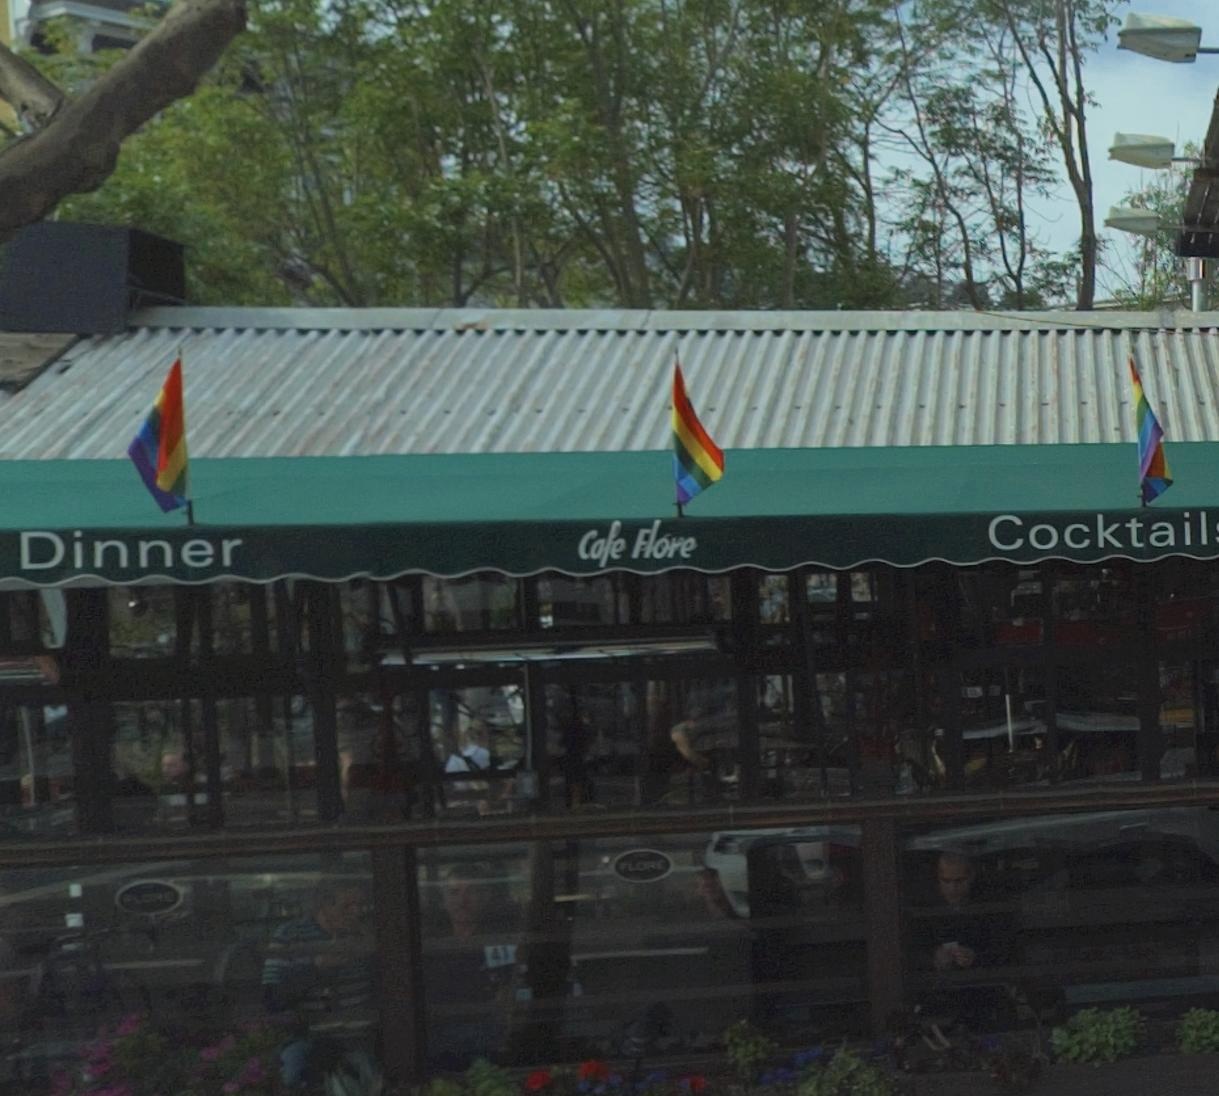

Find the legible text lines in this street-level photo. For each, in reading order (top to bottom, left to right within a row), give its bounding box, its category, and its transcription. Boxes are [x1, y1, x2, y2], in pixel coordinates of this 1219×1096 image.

[16, 527, 249, 574] None: Dinner
[570, 516, 701, 570] BusinessName: Cafe Flore
[984, 507, 1212, 554] None: Cocktail
[617, 856, 668, 875] BusinessName: *LORE
[486, 943, 514, 968] None: 4*